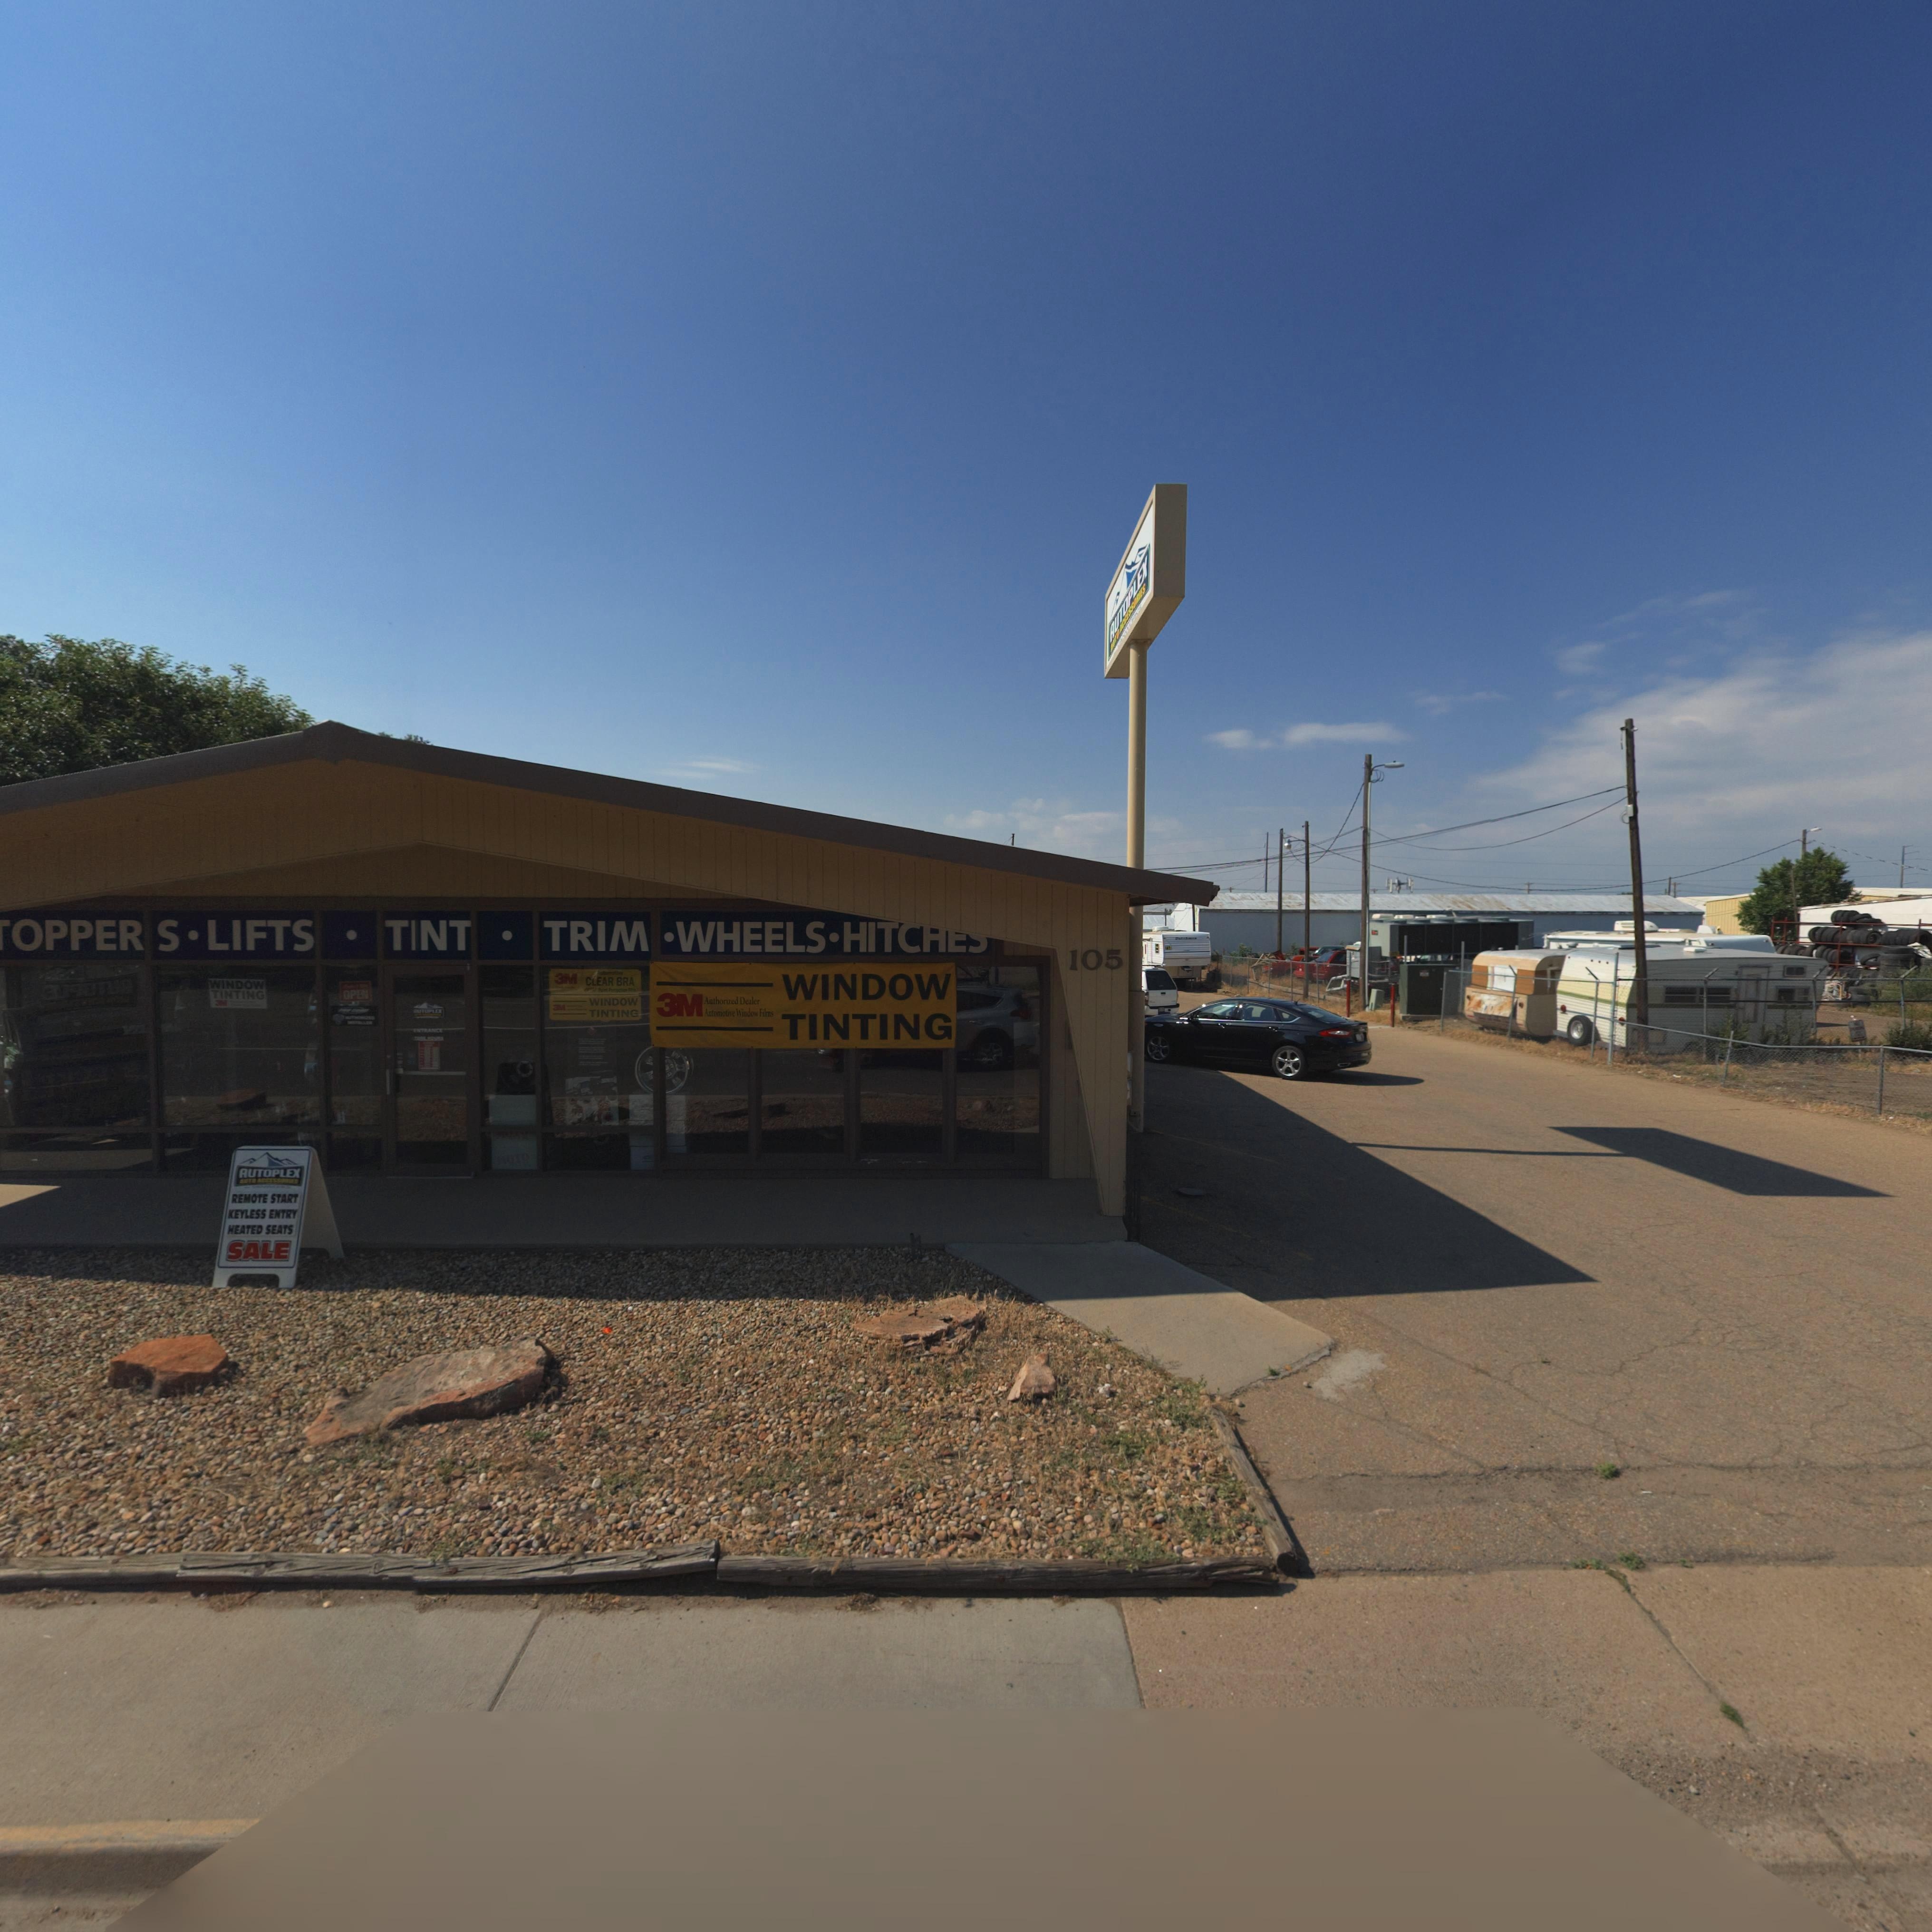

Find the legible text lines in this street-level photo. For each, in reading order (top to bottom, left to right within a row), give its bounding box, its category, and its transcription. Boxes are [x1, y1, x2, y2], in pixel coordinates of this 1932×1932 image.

[1109, 554, 1148, 643] BusinessName: AUTOPLEX
[1110, 582, 1146, 653] BusinessName: ***O AC**SSORIES
[1068, 947, 1125, 971] StreetNumber: 105
[413, 1009, 442, 1014] BusinessName: AUTOPLEX
[239, 1177, 298, 1184] BusinessName: AUTO ACC*SS****S
[238, 1167, 301, 1179] BusinessName: AUTOPLEX